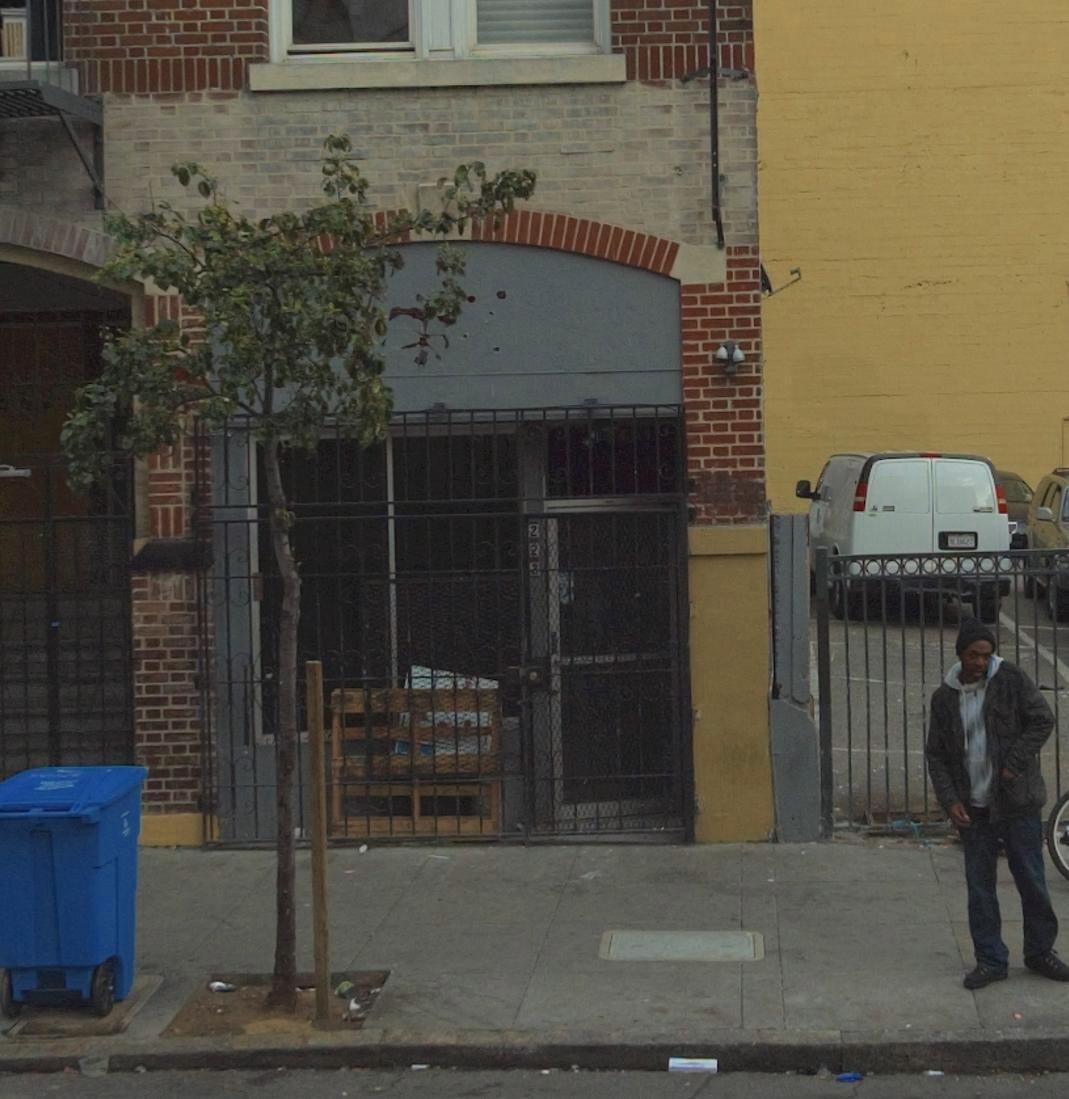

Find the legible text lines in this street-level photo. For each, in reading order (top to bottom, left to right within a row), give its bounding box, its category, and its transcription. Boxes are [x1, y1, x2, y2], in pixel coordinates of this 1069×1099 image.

[529, 523, 539, 576] StreetNumber: 22*